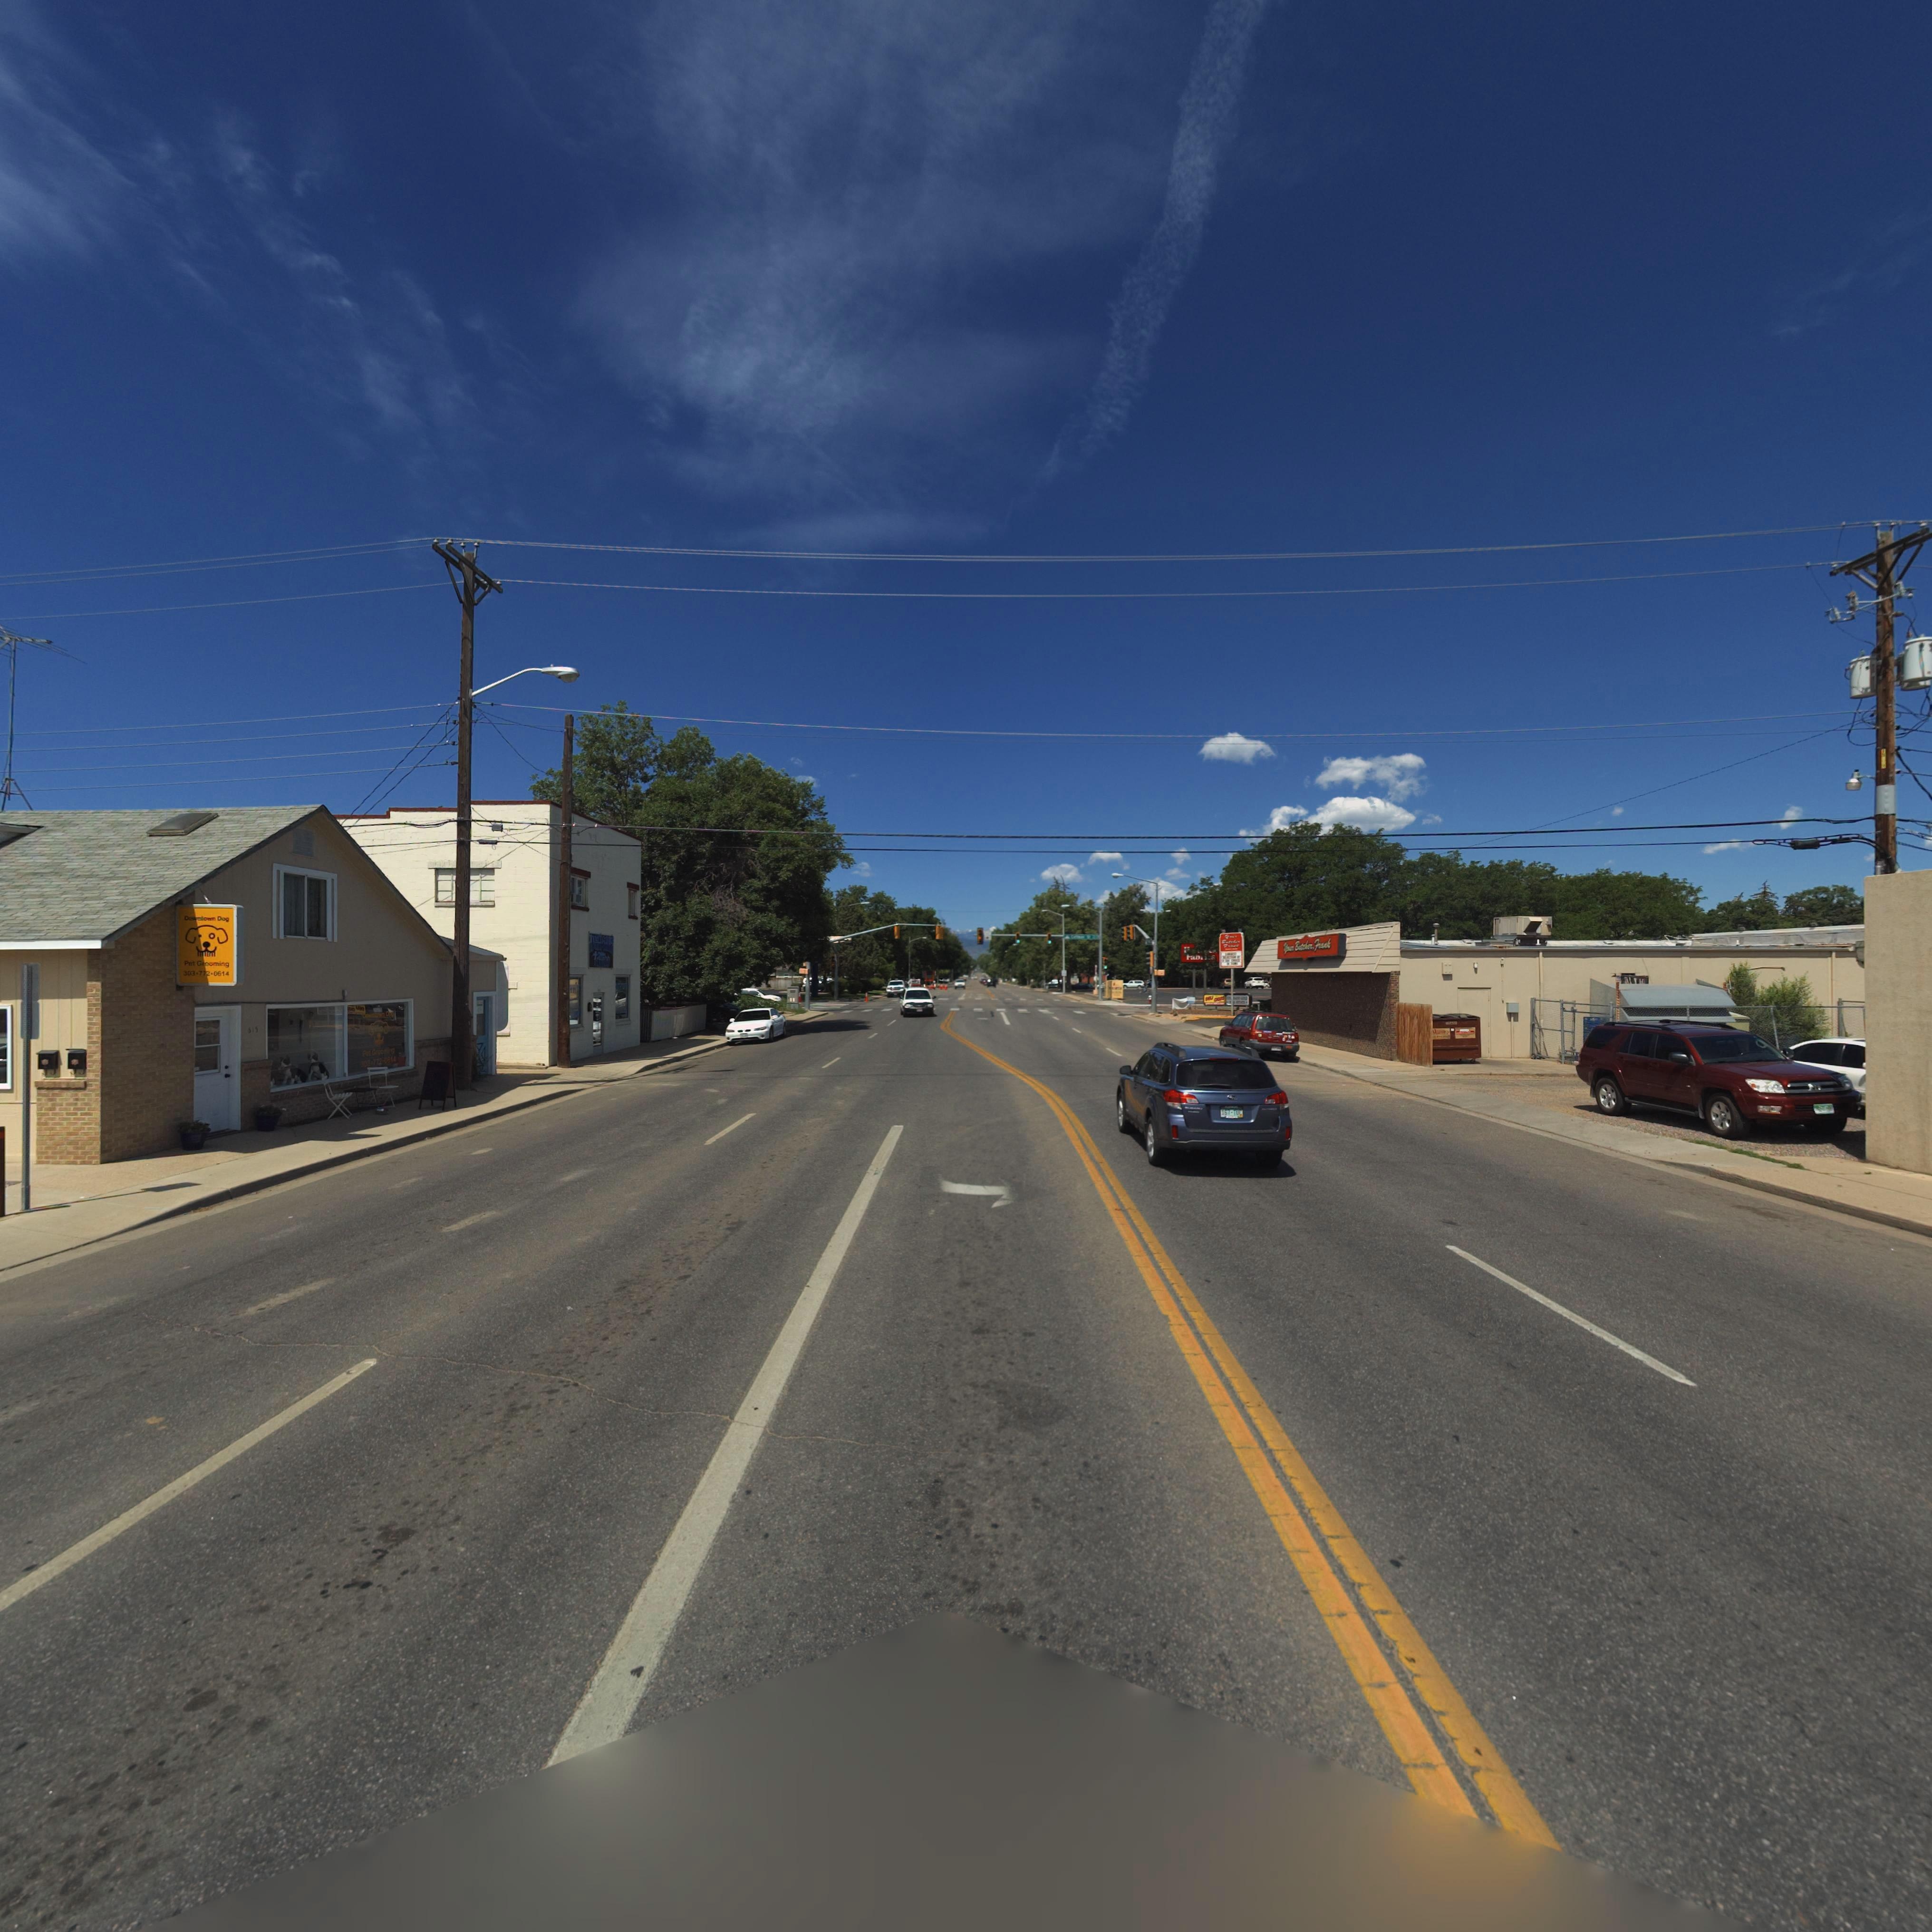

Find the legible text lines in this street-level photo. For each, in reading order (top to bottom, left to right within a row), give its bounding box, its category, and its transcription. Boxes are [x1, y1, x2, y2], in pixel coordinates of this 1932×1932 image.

[184, 915, 230, 923] BusinessName: D****o** Dog
[589, 934, 613, 955] BusinessName: I**********
[1283, 937, 1332, 955] BusinessName: **** B****e** F***k
[592, 951, 610, 967] BusinessName: Ta****
[1186, 953, 1216, 960] BusinessName: *a*****
[184, 959, 230, 968] BusinessName: P** G*o*m**g
[1204, 994, 1214, 1002] BusinessName: D**I
[361, 1010, 395, 1019] BusinessName: *o****** D**
[247, 1025, 259, 1034] StreetNumber: *15
[362, 1046, 396, 1058] BusinessName: P** ***o***g